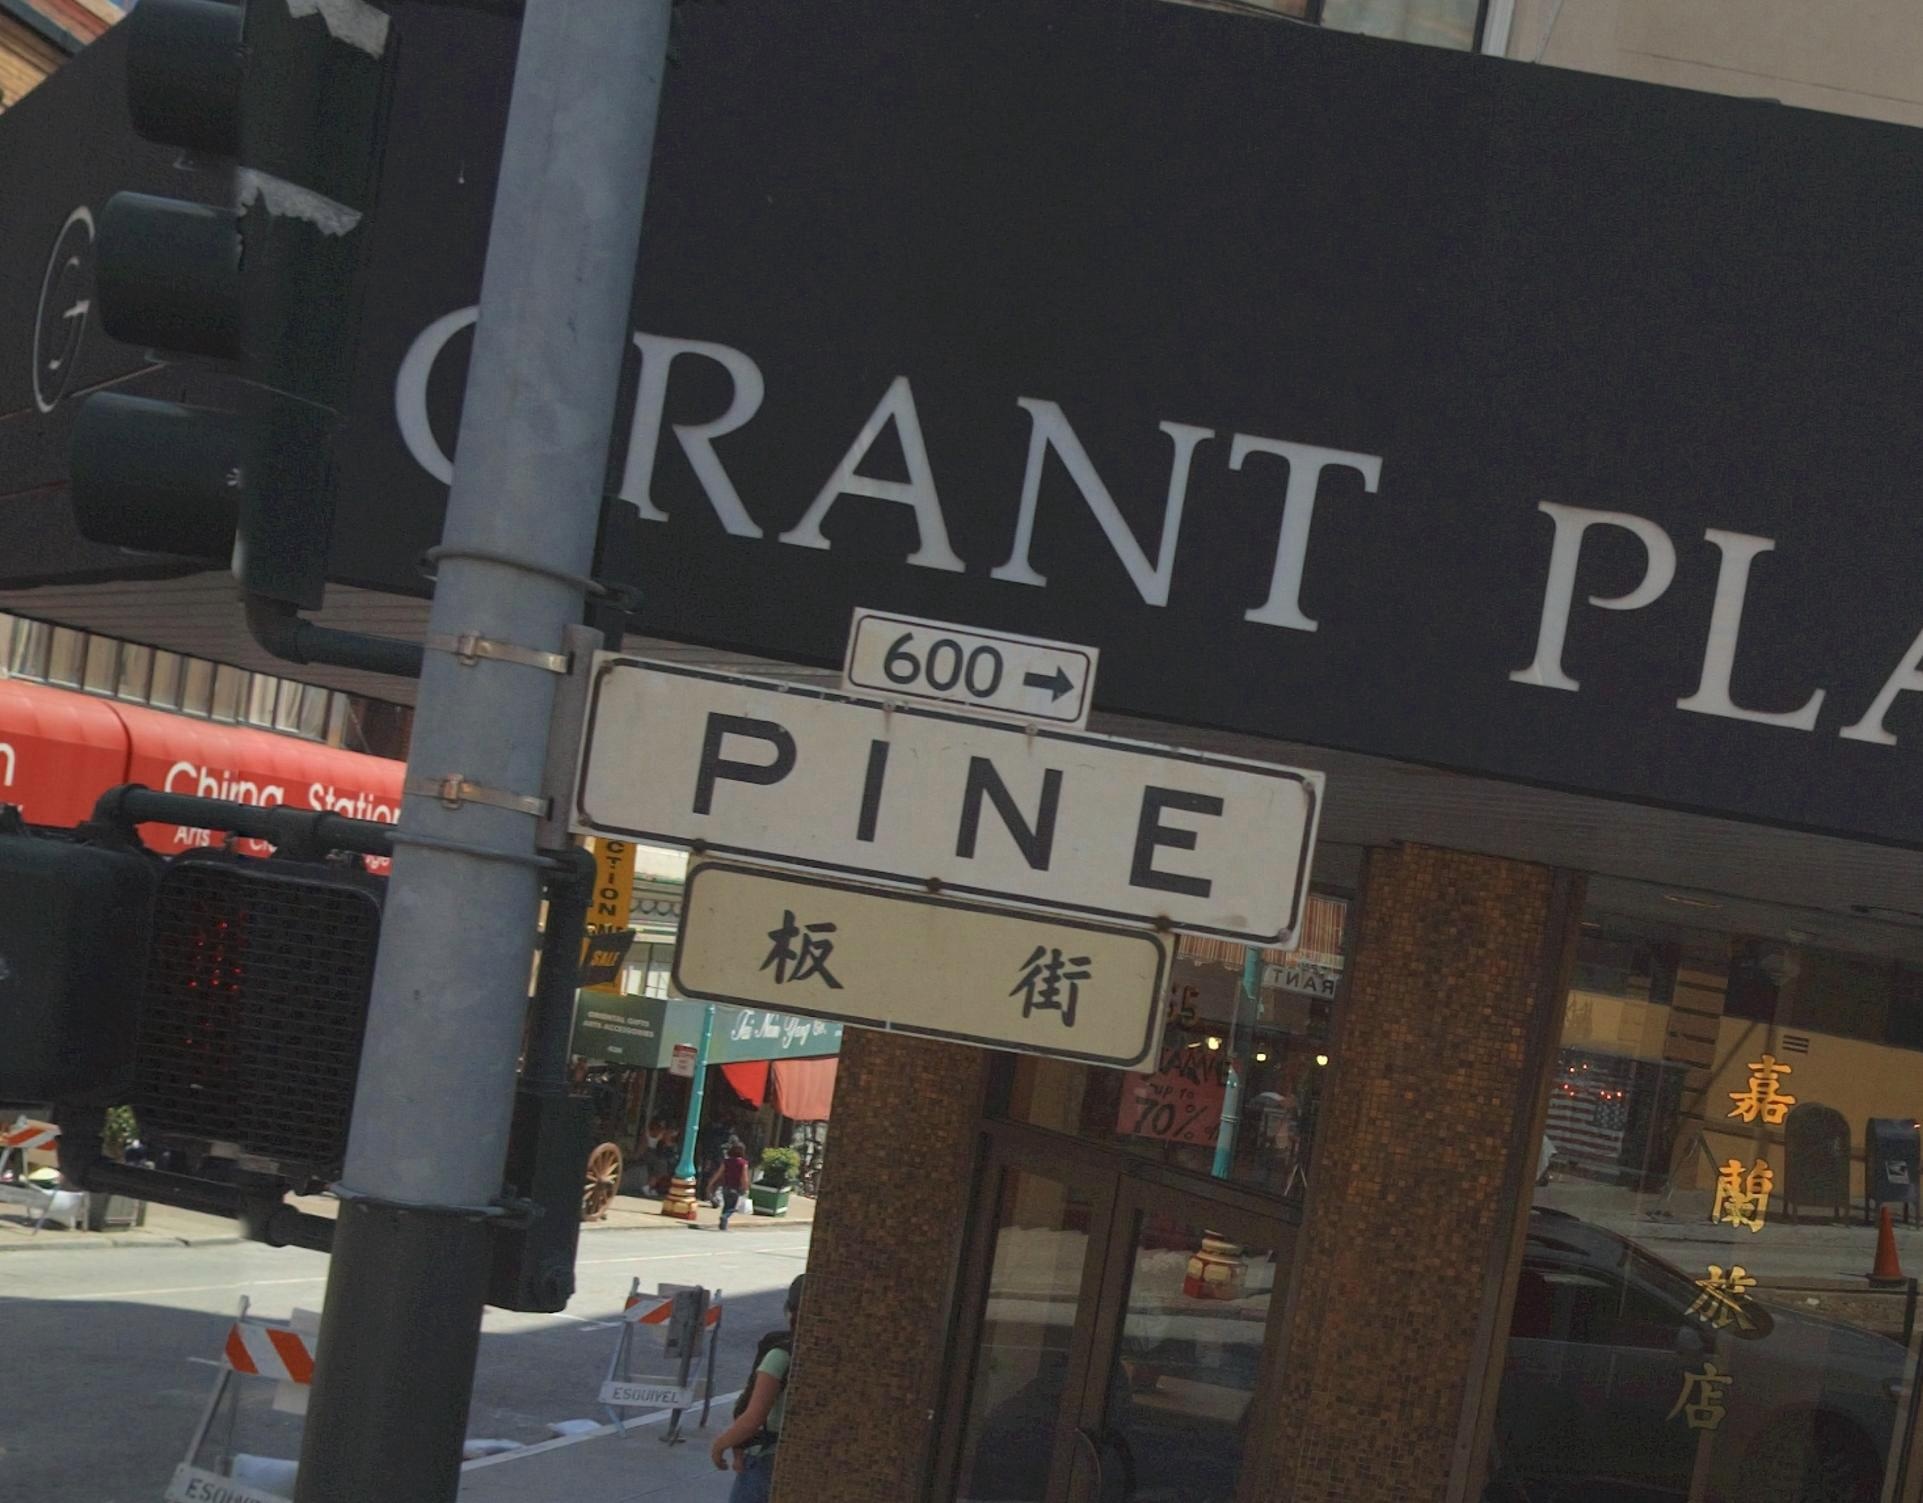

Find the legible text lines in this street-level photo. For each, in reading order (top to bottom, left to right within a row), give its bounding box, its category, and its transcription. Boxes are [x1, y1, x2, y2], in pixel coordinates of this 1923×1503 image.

[376, 277, 1831, 738] BusinessName: *RANT PL
[877, 620, 1084, 720] StreetNumberRange: 600->
[689, 704, 1228, 901] StreetName: PINE
[597, 838, 628, 919] None: CTION
[1175, 982, 1207, 1031] None: 5
[1125, 1091, 1213, 1150] None: 70%
[1150, 1080, 1198, 1102] None: UP TO
[1159, 1045, 1231, 1091] None: AAVE
[610, 1383, 681, 1405] None: ESOUIVEL